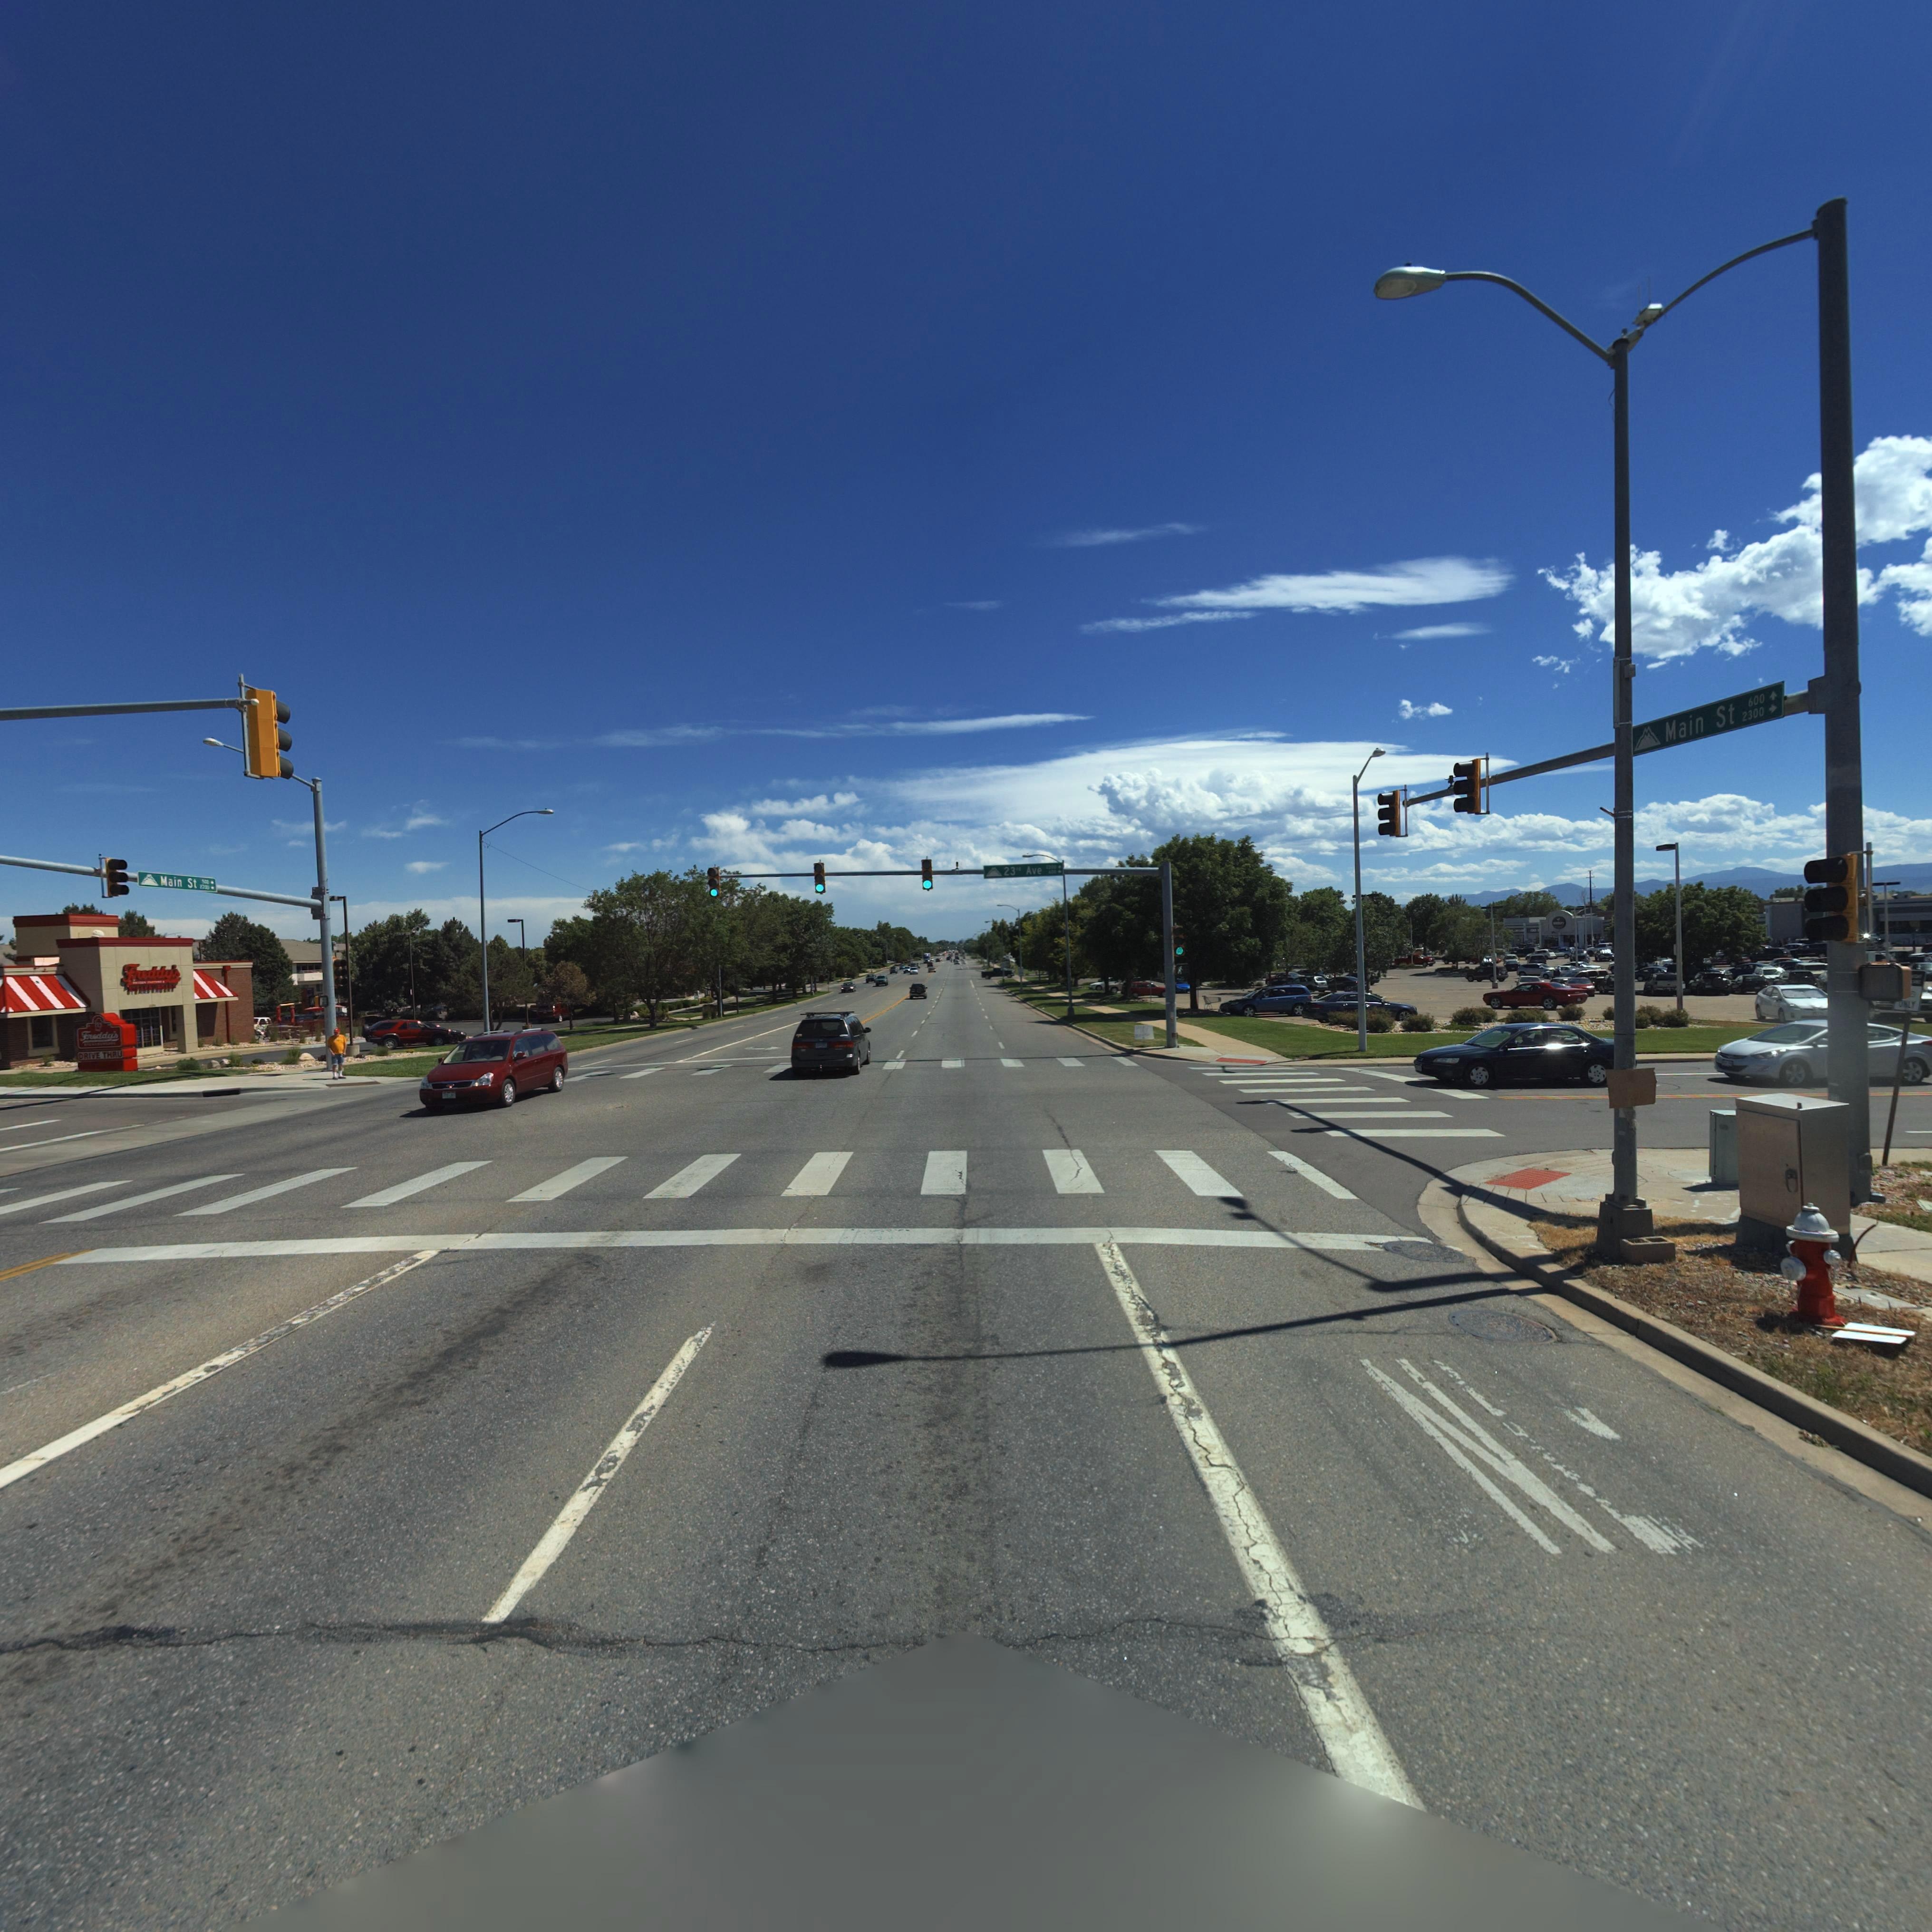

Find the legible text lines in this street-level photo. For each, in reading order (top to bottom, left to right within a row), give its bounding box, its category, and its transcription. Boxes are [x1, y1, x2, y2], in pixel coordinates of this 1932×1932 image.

[1748, 693, 1764, 707] StreetNumberRange: 600
[1742, 702, 1777, 722] StreetNumberRange: 2300 ->
[1665, 703, 1736, 743] StreetName: Main St
[1004, 865, 1043, 876] StreetName: 23rd Ave
[1046, 865, 1056, 869] StreetNumberRange: *200
[1048, 869, 1061, 874] StreetNumberRange: *00 ->
[160, 875, 197, 889] StreetName: Main St
[202, 879, 209, 884] StreetNumberRange: *00
[200, 884, 214, 889] StreetNumberRange: **00 ->
[120, 963, 181, 983] BusinessName: Freddy's
[79, 1030, 118, 1043] BusinessName: Fr*dd*'s